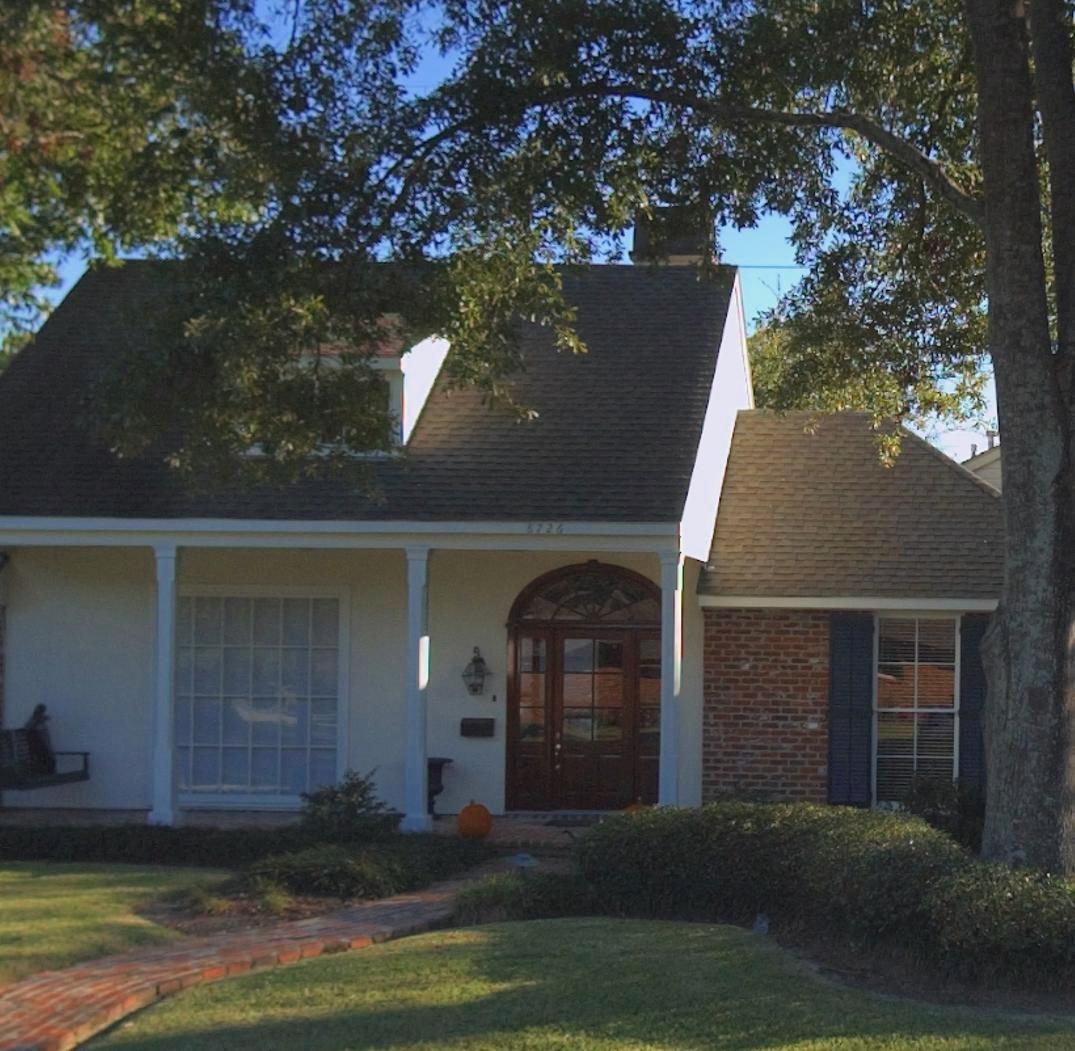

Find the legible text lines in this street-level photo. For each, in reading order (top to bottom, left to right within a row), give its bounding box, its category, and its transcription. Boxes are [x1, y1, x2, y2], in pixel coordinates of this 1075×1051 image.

[524, 521, 565, 535] StreetNumber: 8726